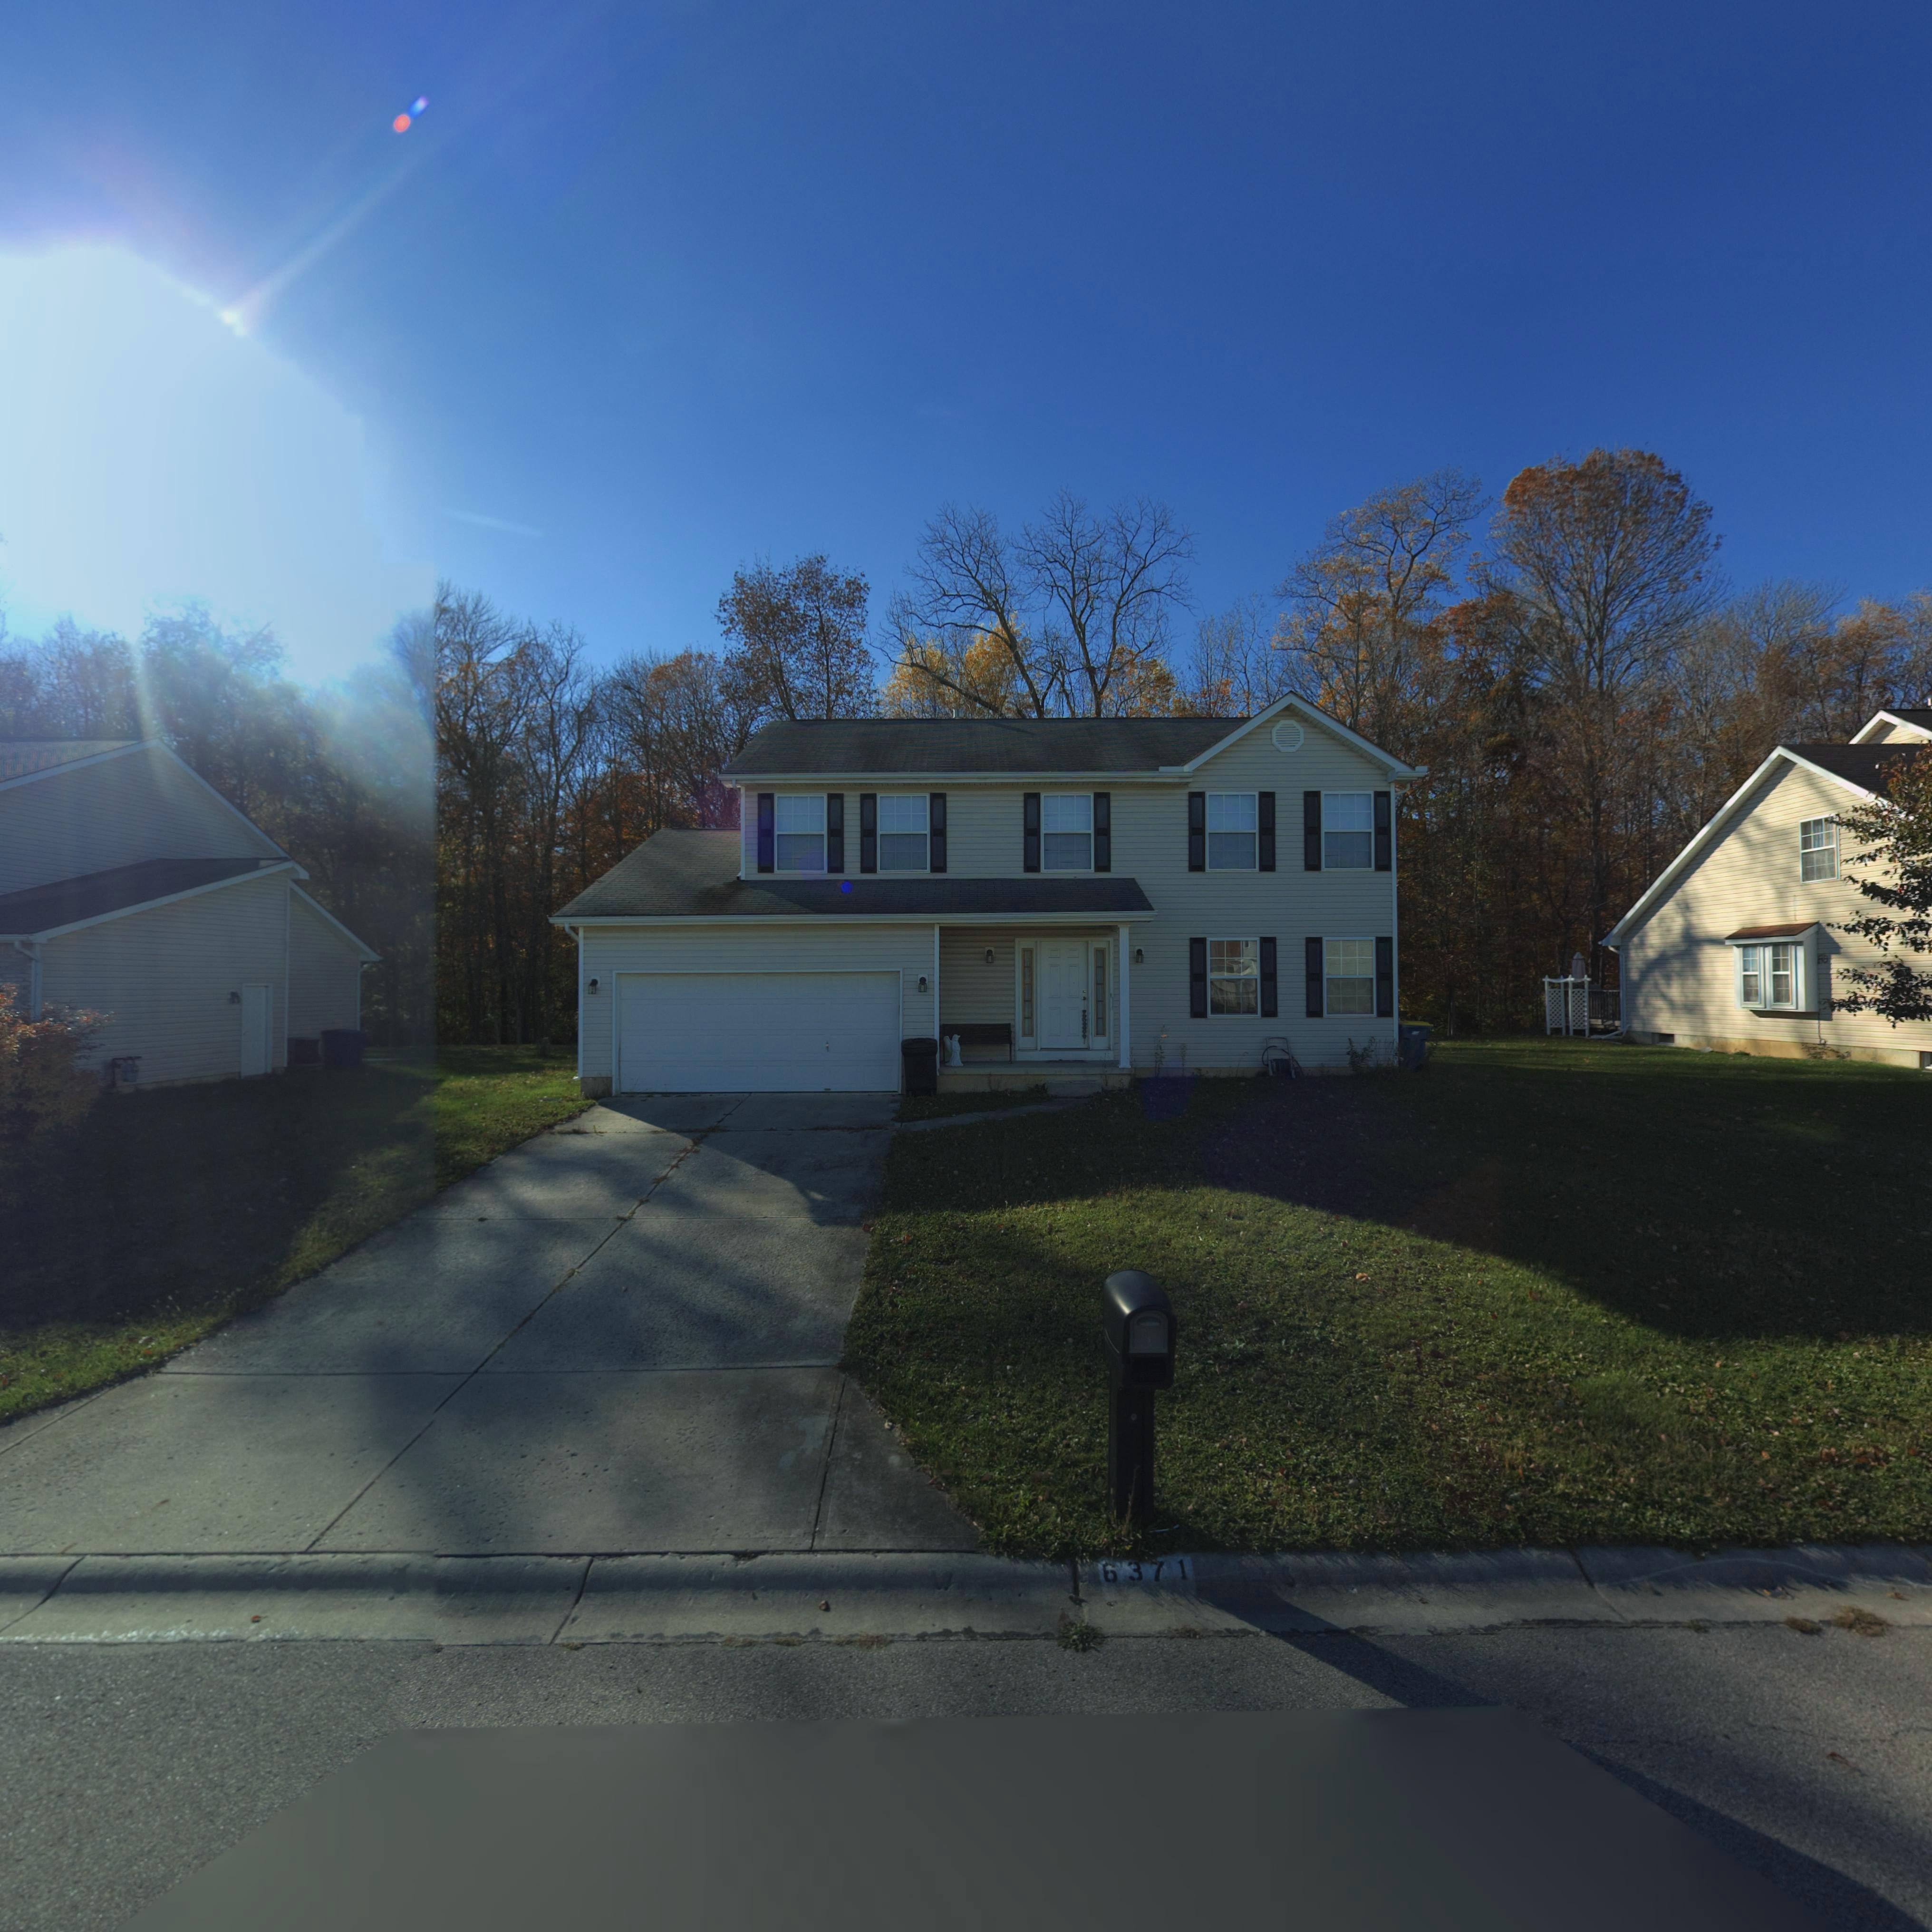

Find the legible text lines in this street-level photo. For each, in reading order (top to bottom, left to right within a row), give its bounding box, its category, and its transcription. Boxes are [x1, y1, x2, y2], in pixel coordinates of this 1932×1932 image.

[1102, 1558, 1190, 1584] StreetNumber: 6371